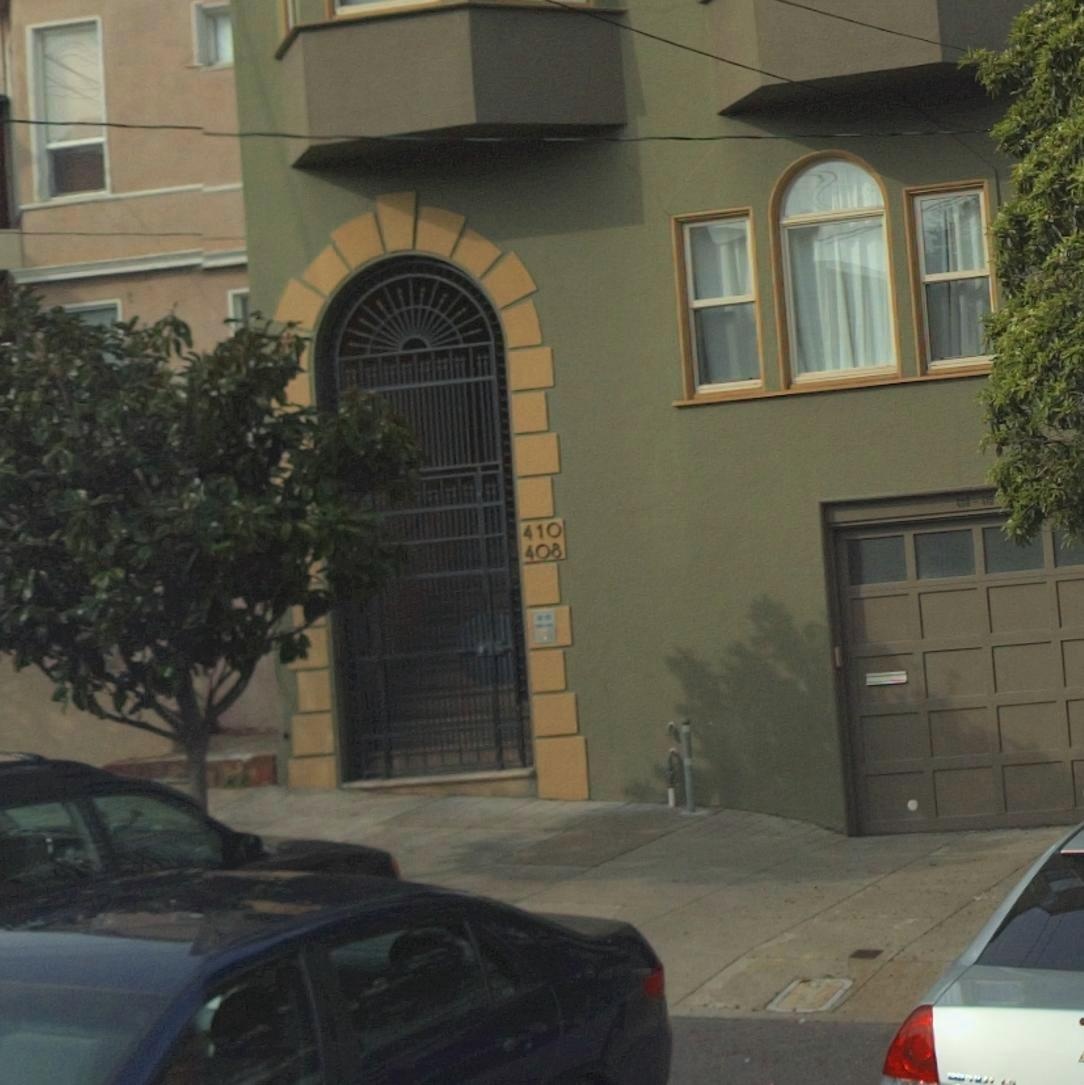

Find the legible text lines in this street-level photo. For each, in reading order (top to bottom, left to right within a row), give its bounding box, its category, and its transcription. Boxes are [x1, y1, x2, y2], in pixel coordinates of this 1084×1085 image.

[520, 520, 565, 541] StreetNumber: 410
[522, 540, 564, 562] StreetNumber: 408